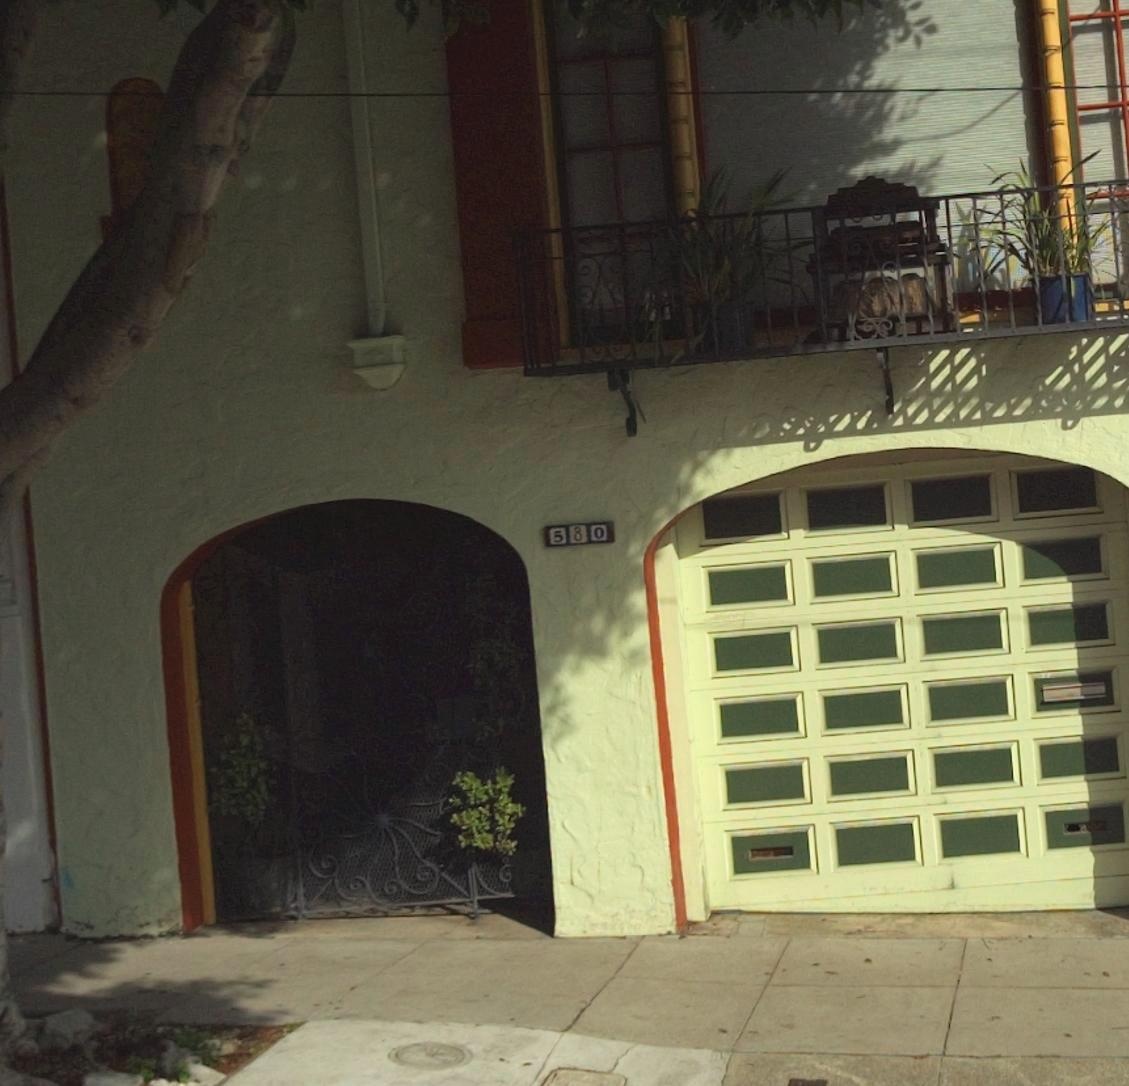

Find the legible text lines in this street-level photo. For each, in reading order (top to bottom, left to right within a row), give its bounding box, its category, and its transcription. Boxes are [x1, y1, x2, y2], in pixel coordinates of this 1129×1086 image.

[551, 523, 607, 546] StreetNumber: 580